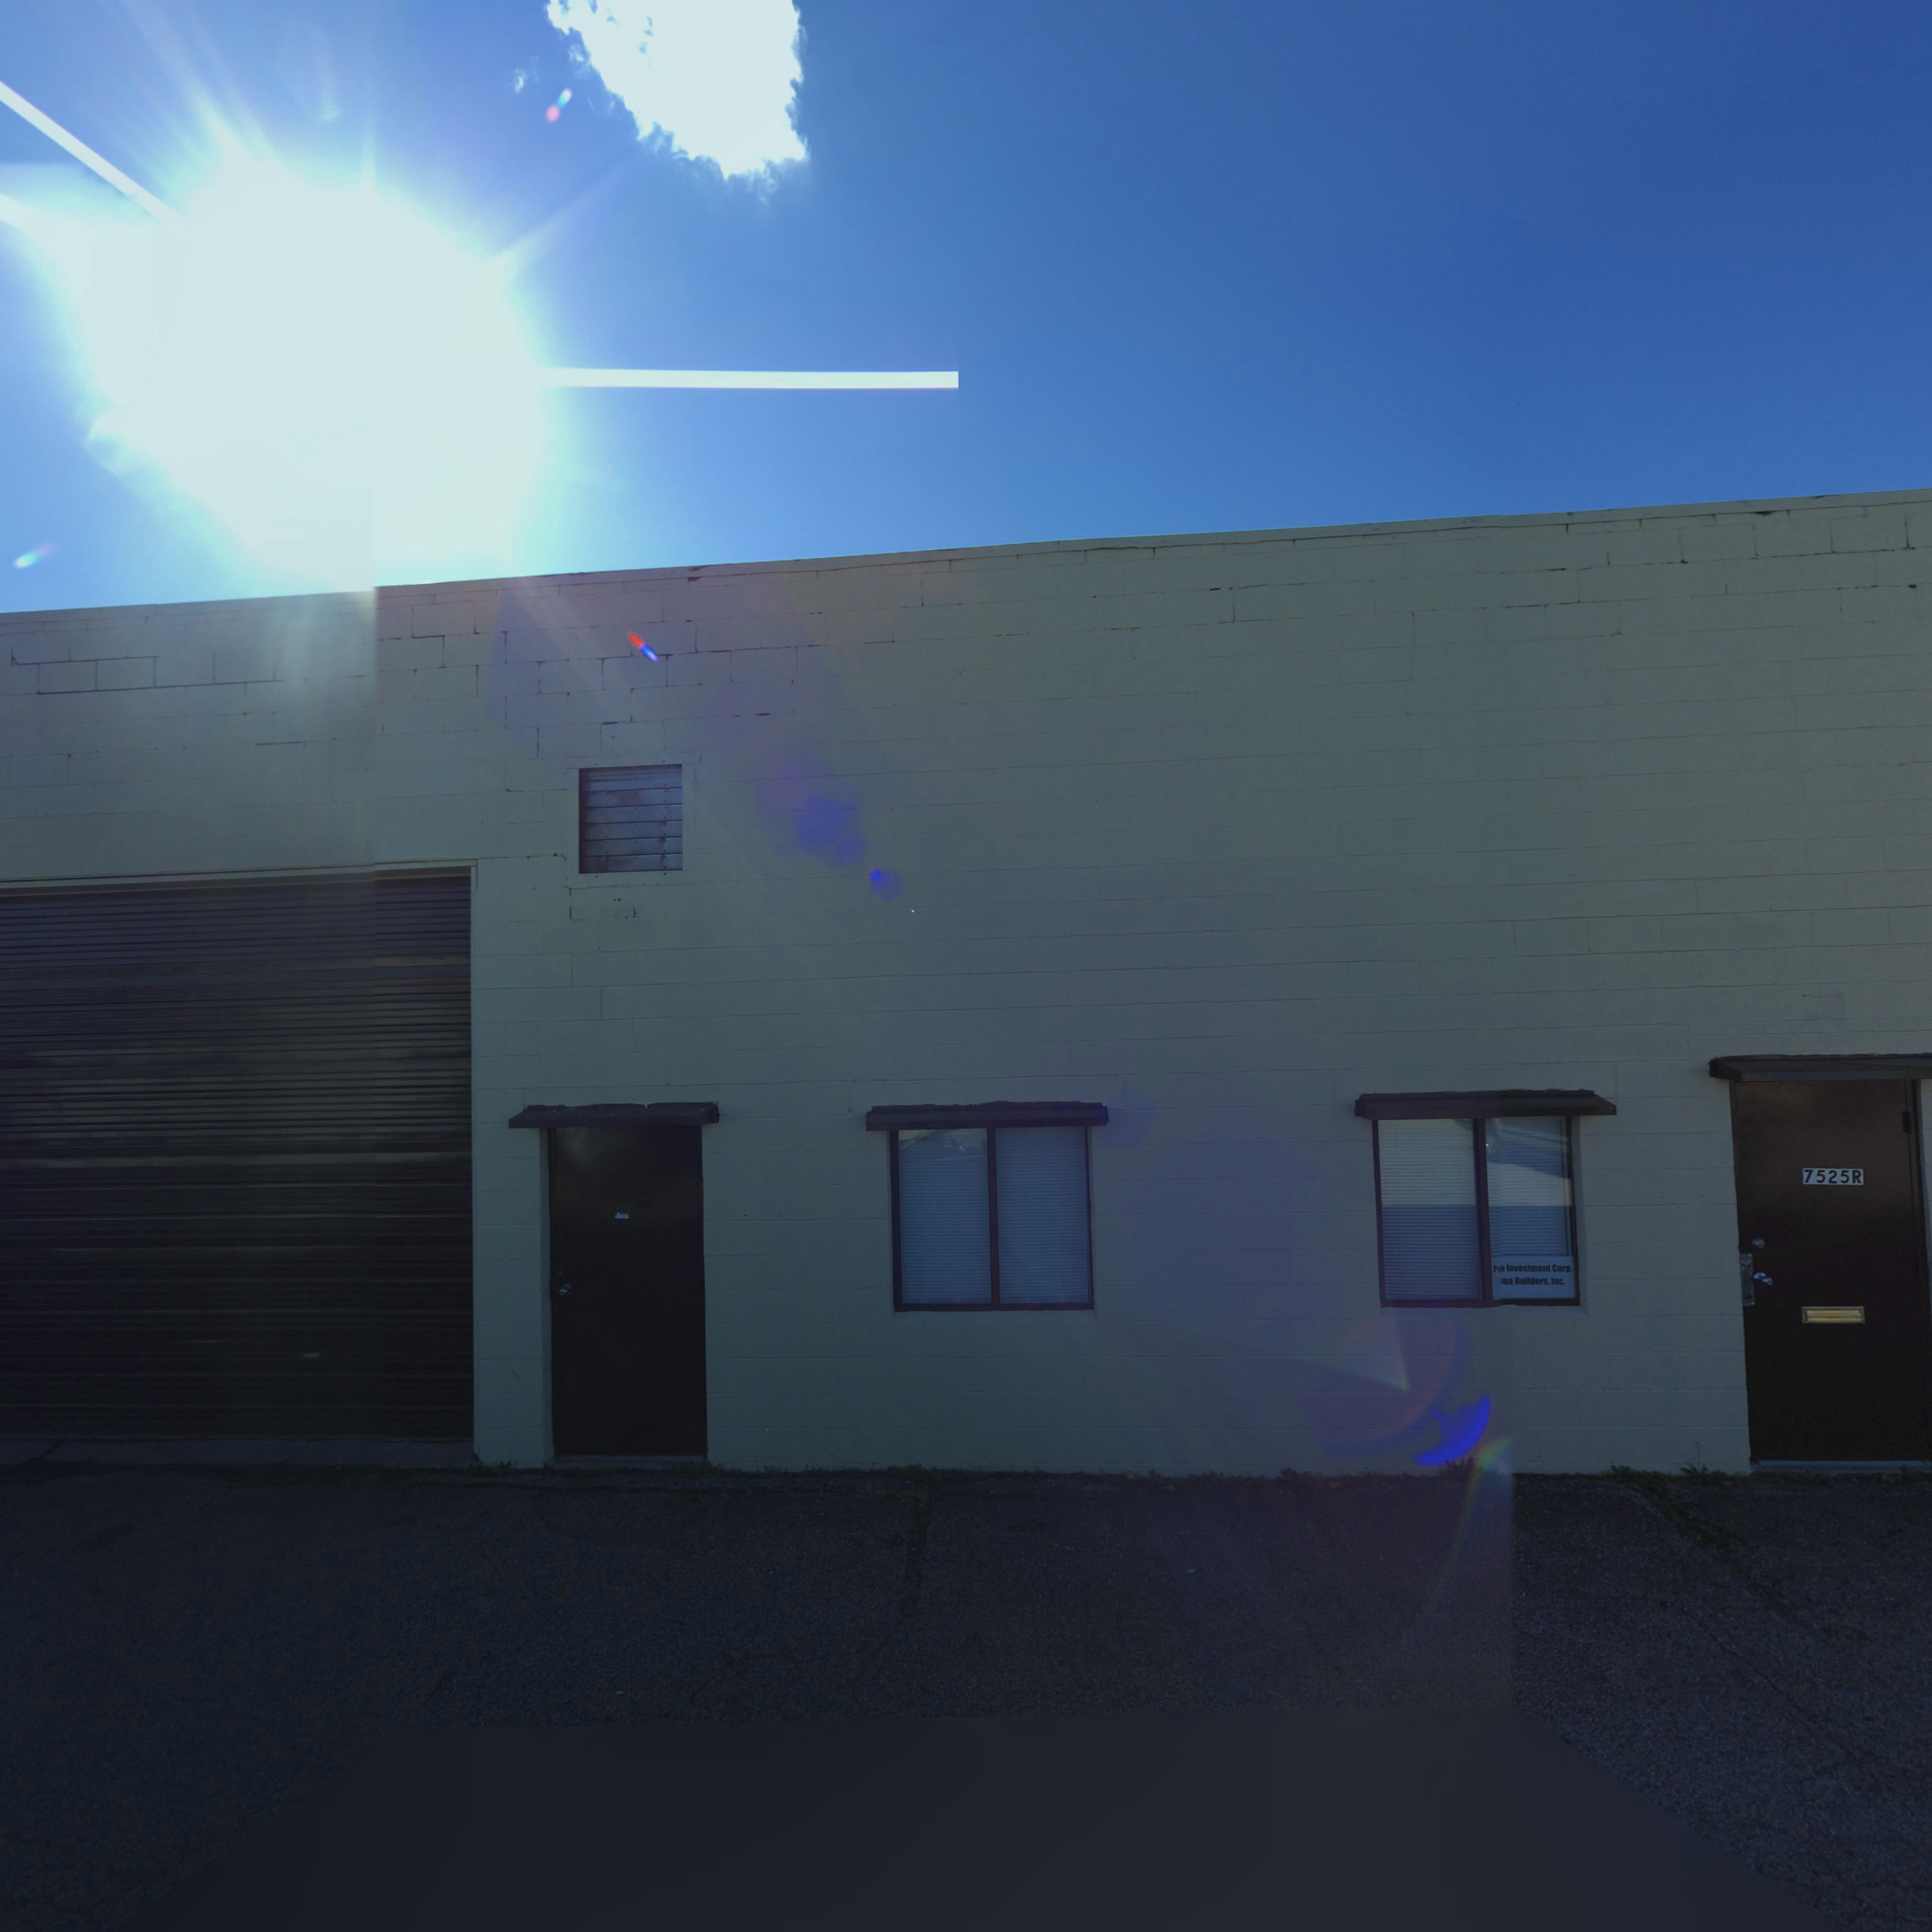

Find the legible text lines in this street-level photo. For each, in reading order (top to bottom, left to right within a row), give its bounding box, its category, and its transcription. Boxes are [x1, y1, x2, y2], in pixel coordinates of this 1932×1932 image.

[1803, 1169, 1850, 1185] StreetNumber: 7525
[1492, 1263, 1574, 1274] BusinessName: P* Investment Corp.
[1503, 1276, 1566, 1286] BusinessName: pa Builders, Inc.